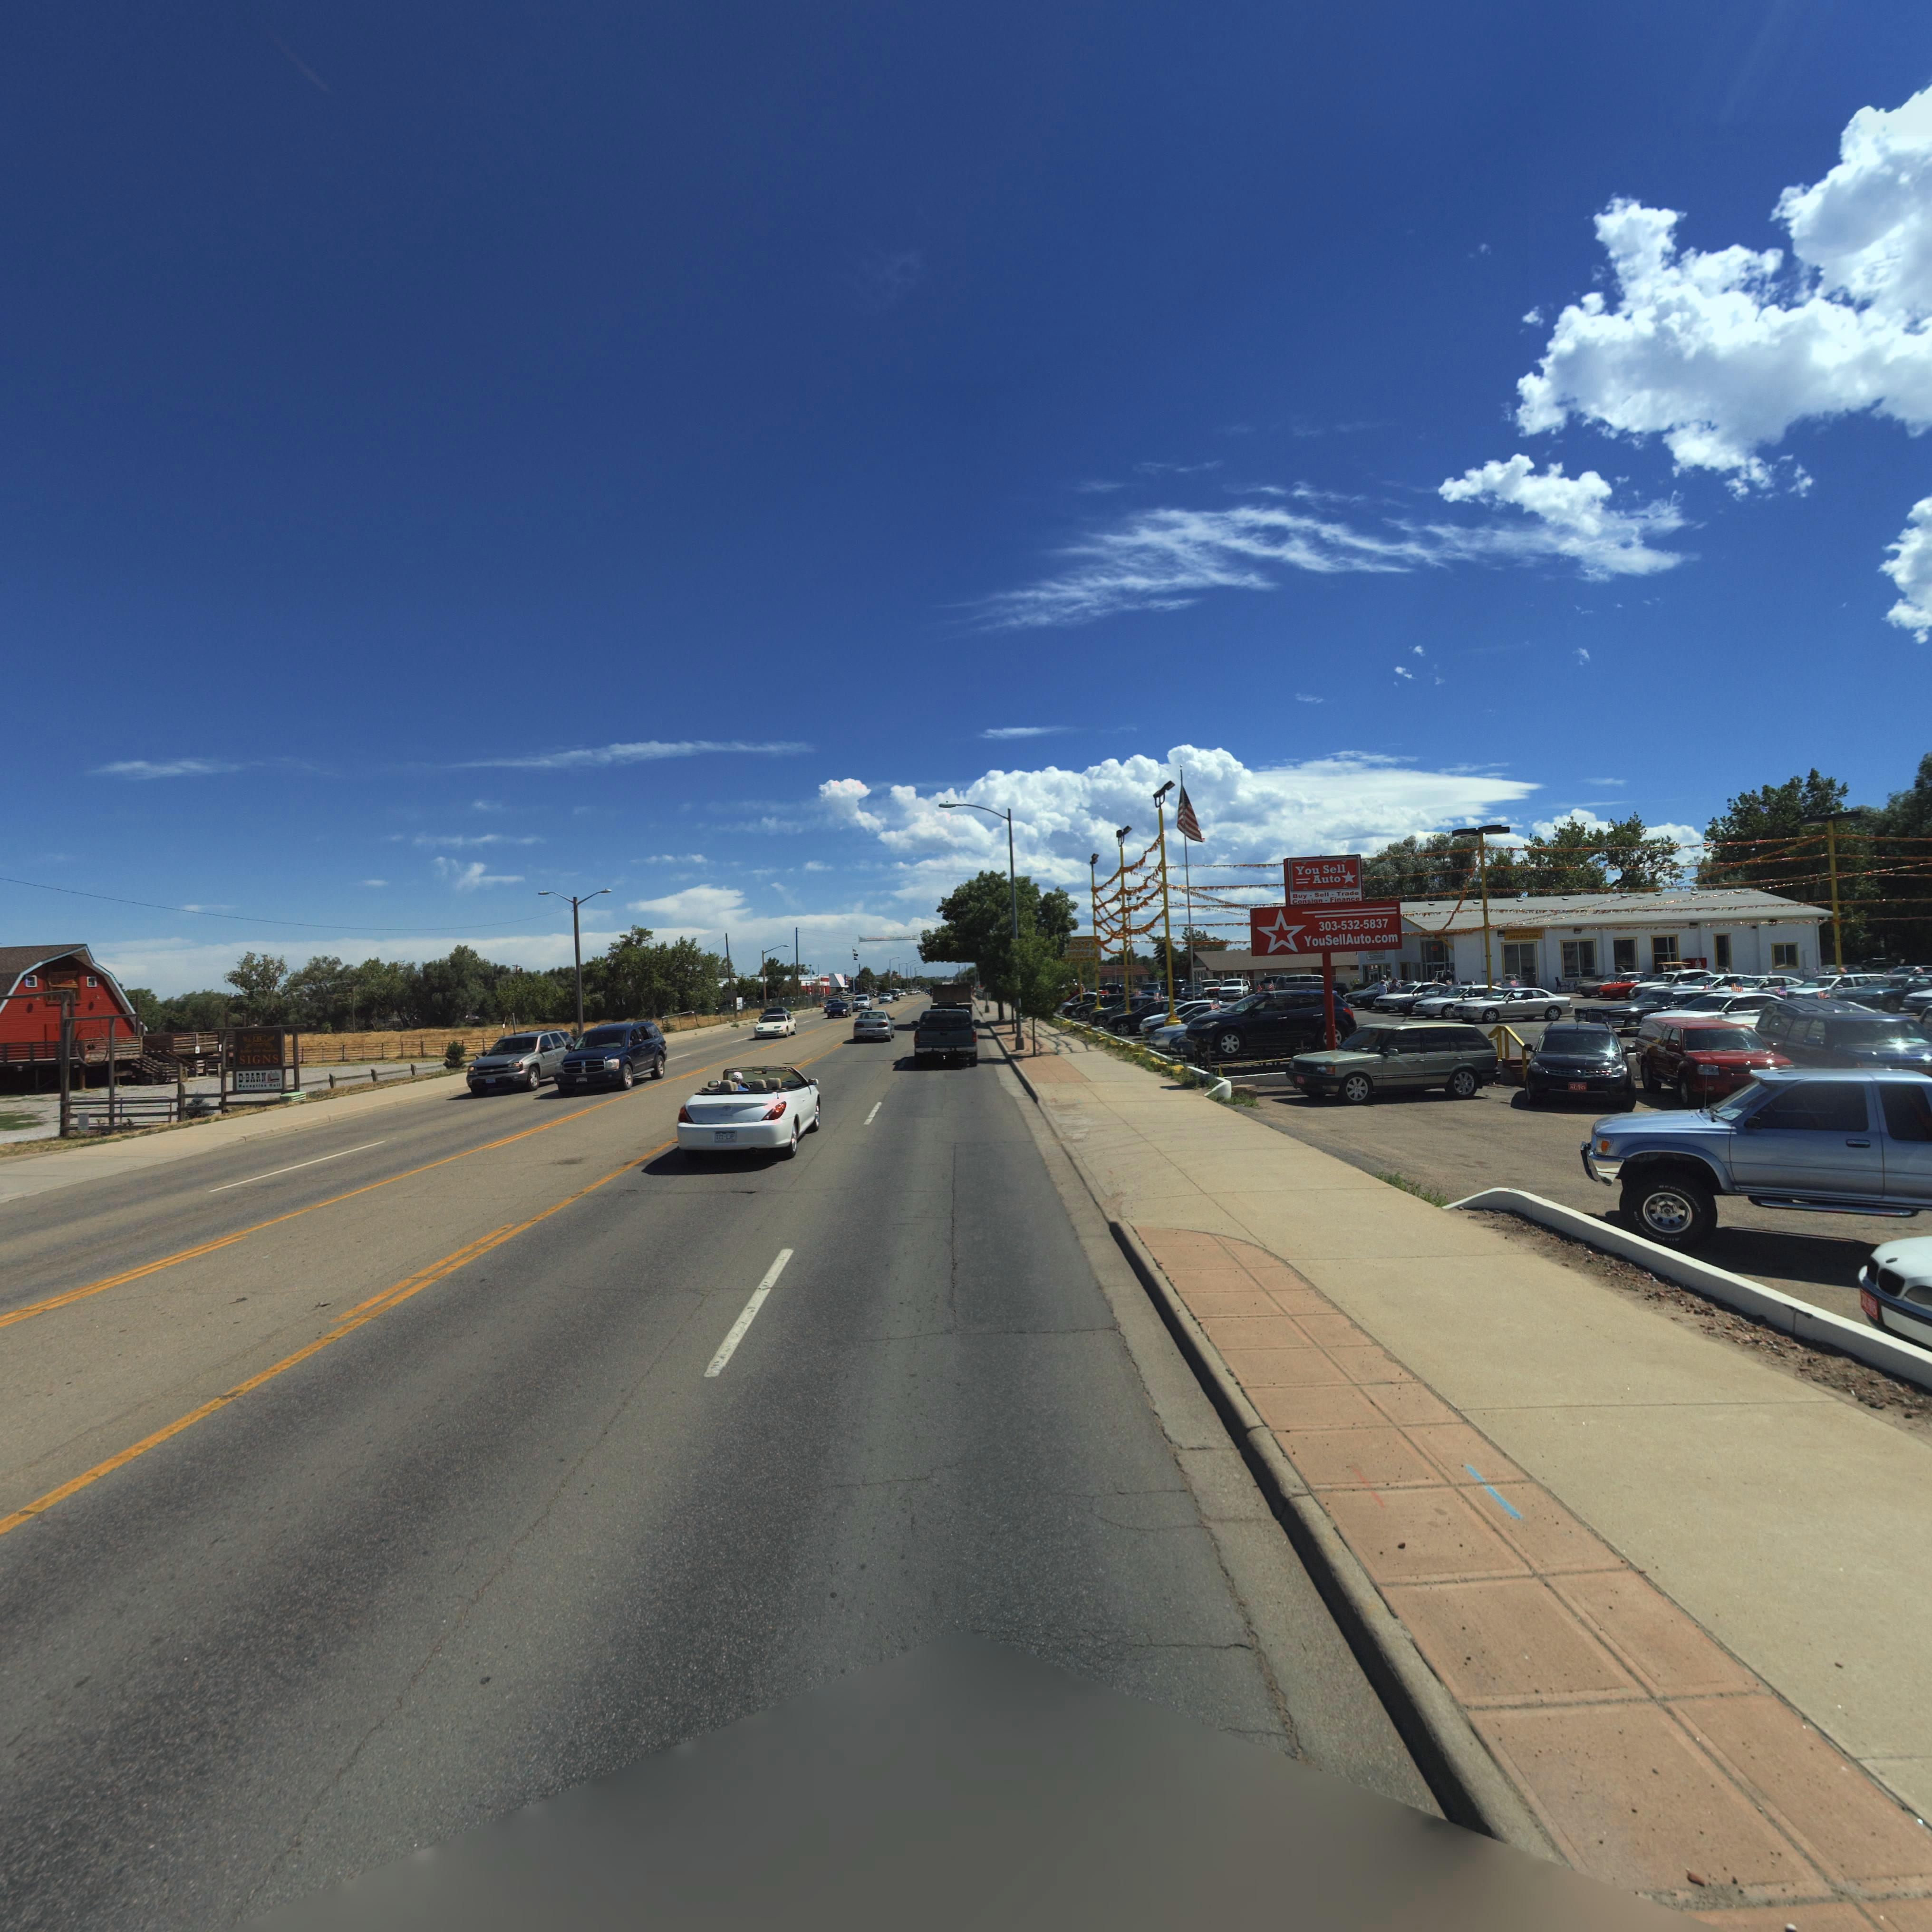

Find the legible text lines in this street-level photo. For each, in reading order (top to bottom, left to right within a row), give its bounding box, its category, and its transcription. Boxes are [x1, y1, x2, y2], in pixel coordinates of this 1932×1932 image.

[1294, 864, 1346, 875] BusinessName: You Sell
[1312, 875, 1341, 884] BusinessName: Auto
[1068, 940, 1091, 950] BusinessName: SSE
[1071, 950, 1089, 957] BusinessName: TORS
[239, 1053, 279, 1064] BusinessName: SIGNS
[238, 1072, 266, 1083] BusinessName: D*BARN
[238, 1082, 280, 1088] None: ****p*ion H*ll